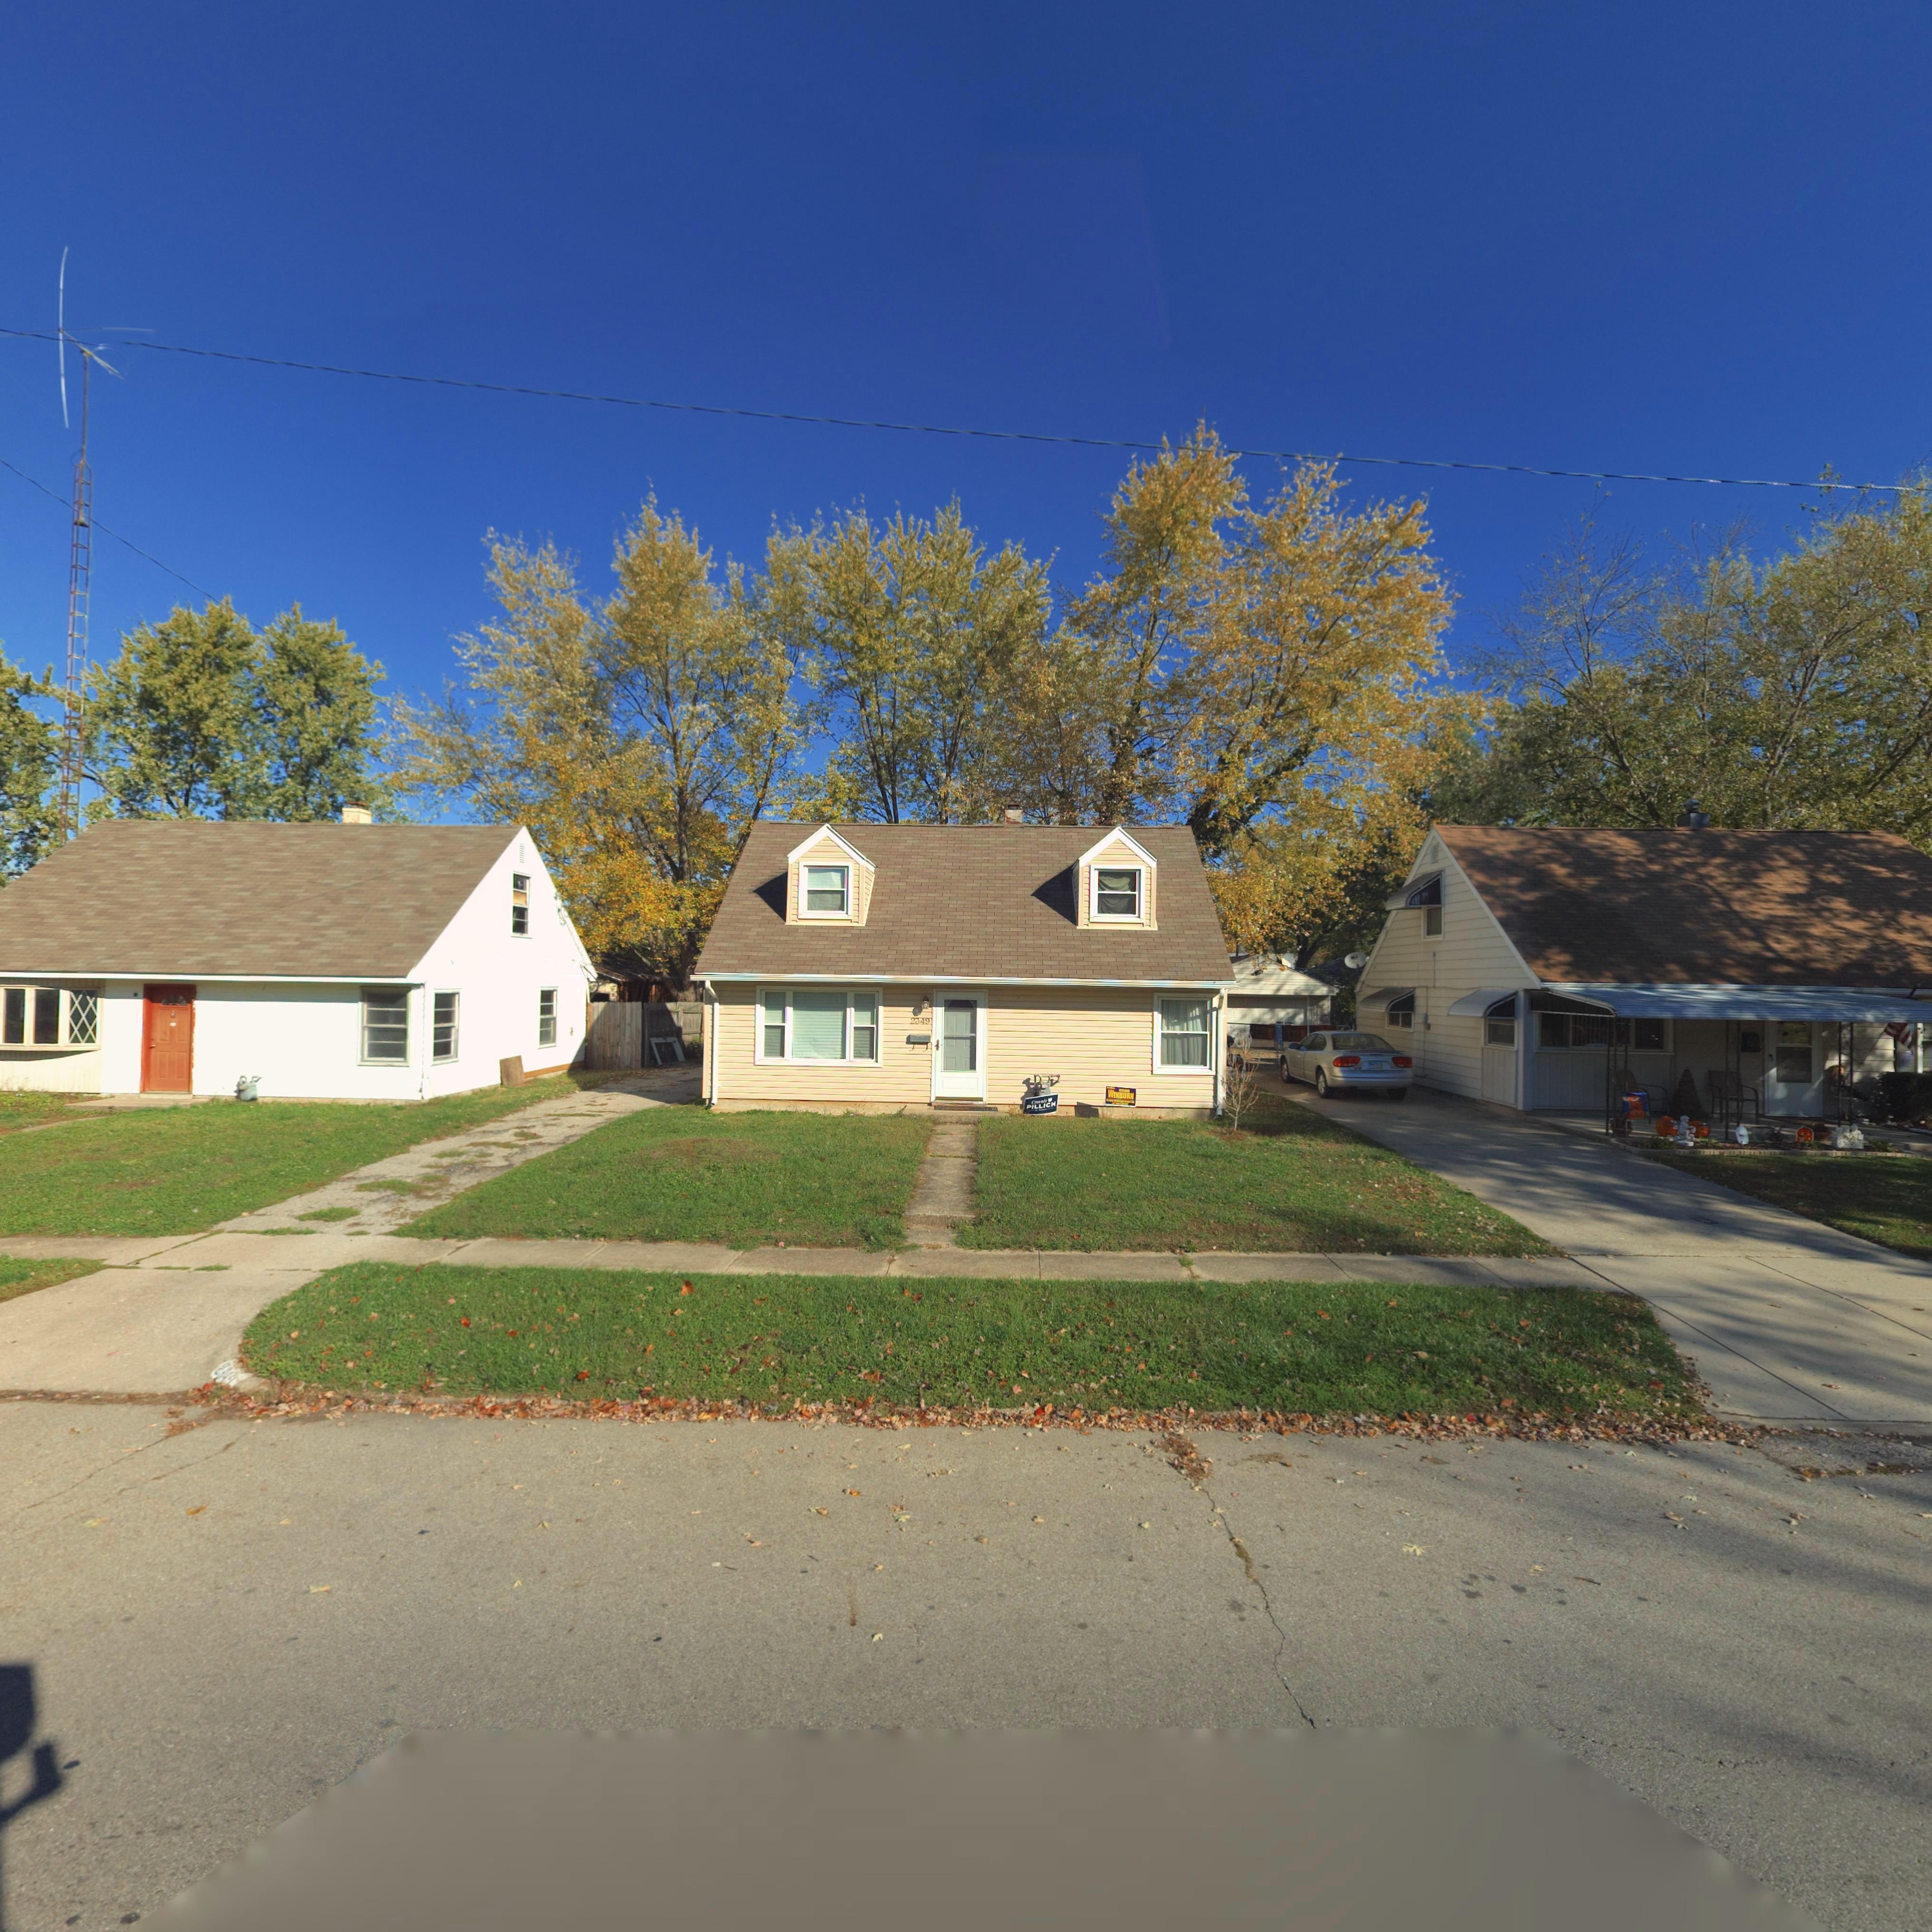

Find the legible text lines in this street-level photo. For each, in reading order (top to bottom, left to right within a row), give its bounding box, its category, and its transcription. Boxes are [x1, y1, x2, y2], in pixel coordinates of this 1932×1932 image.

[909, 1016, 931, 1025] StreetNumber: 2349
[212, 1361, 239, 1390] StreetNumber: 2***